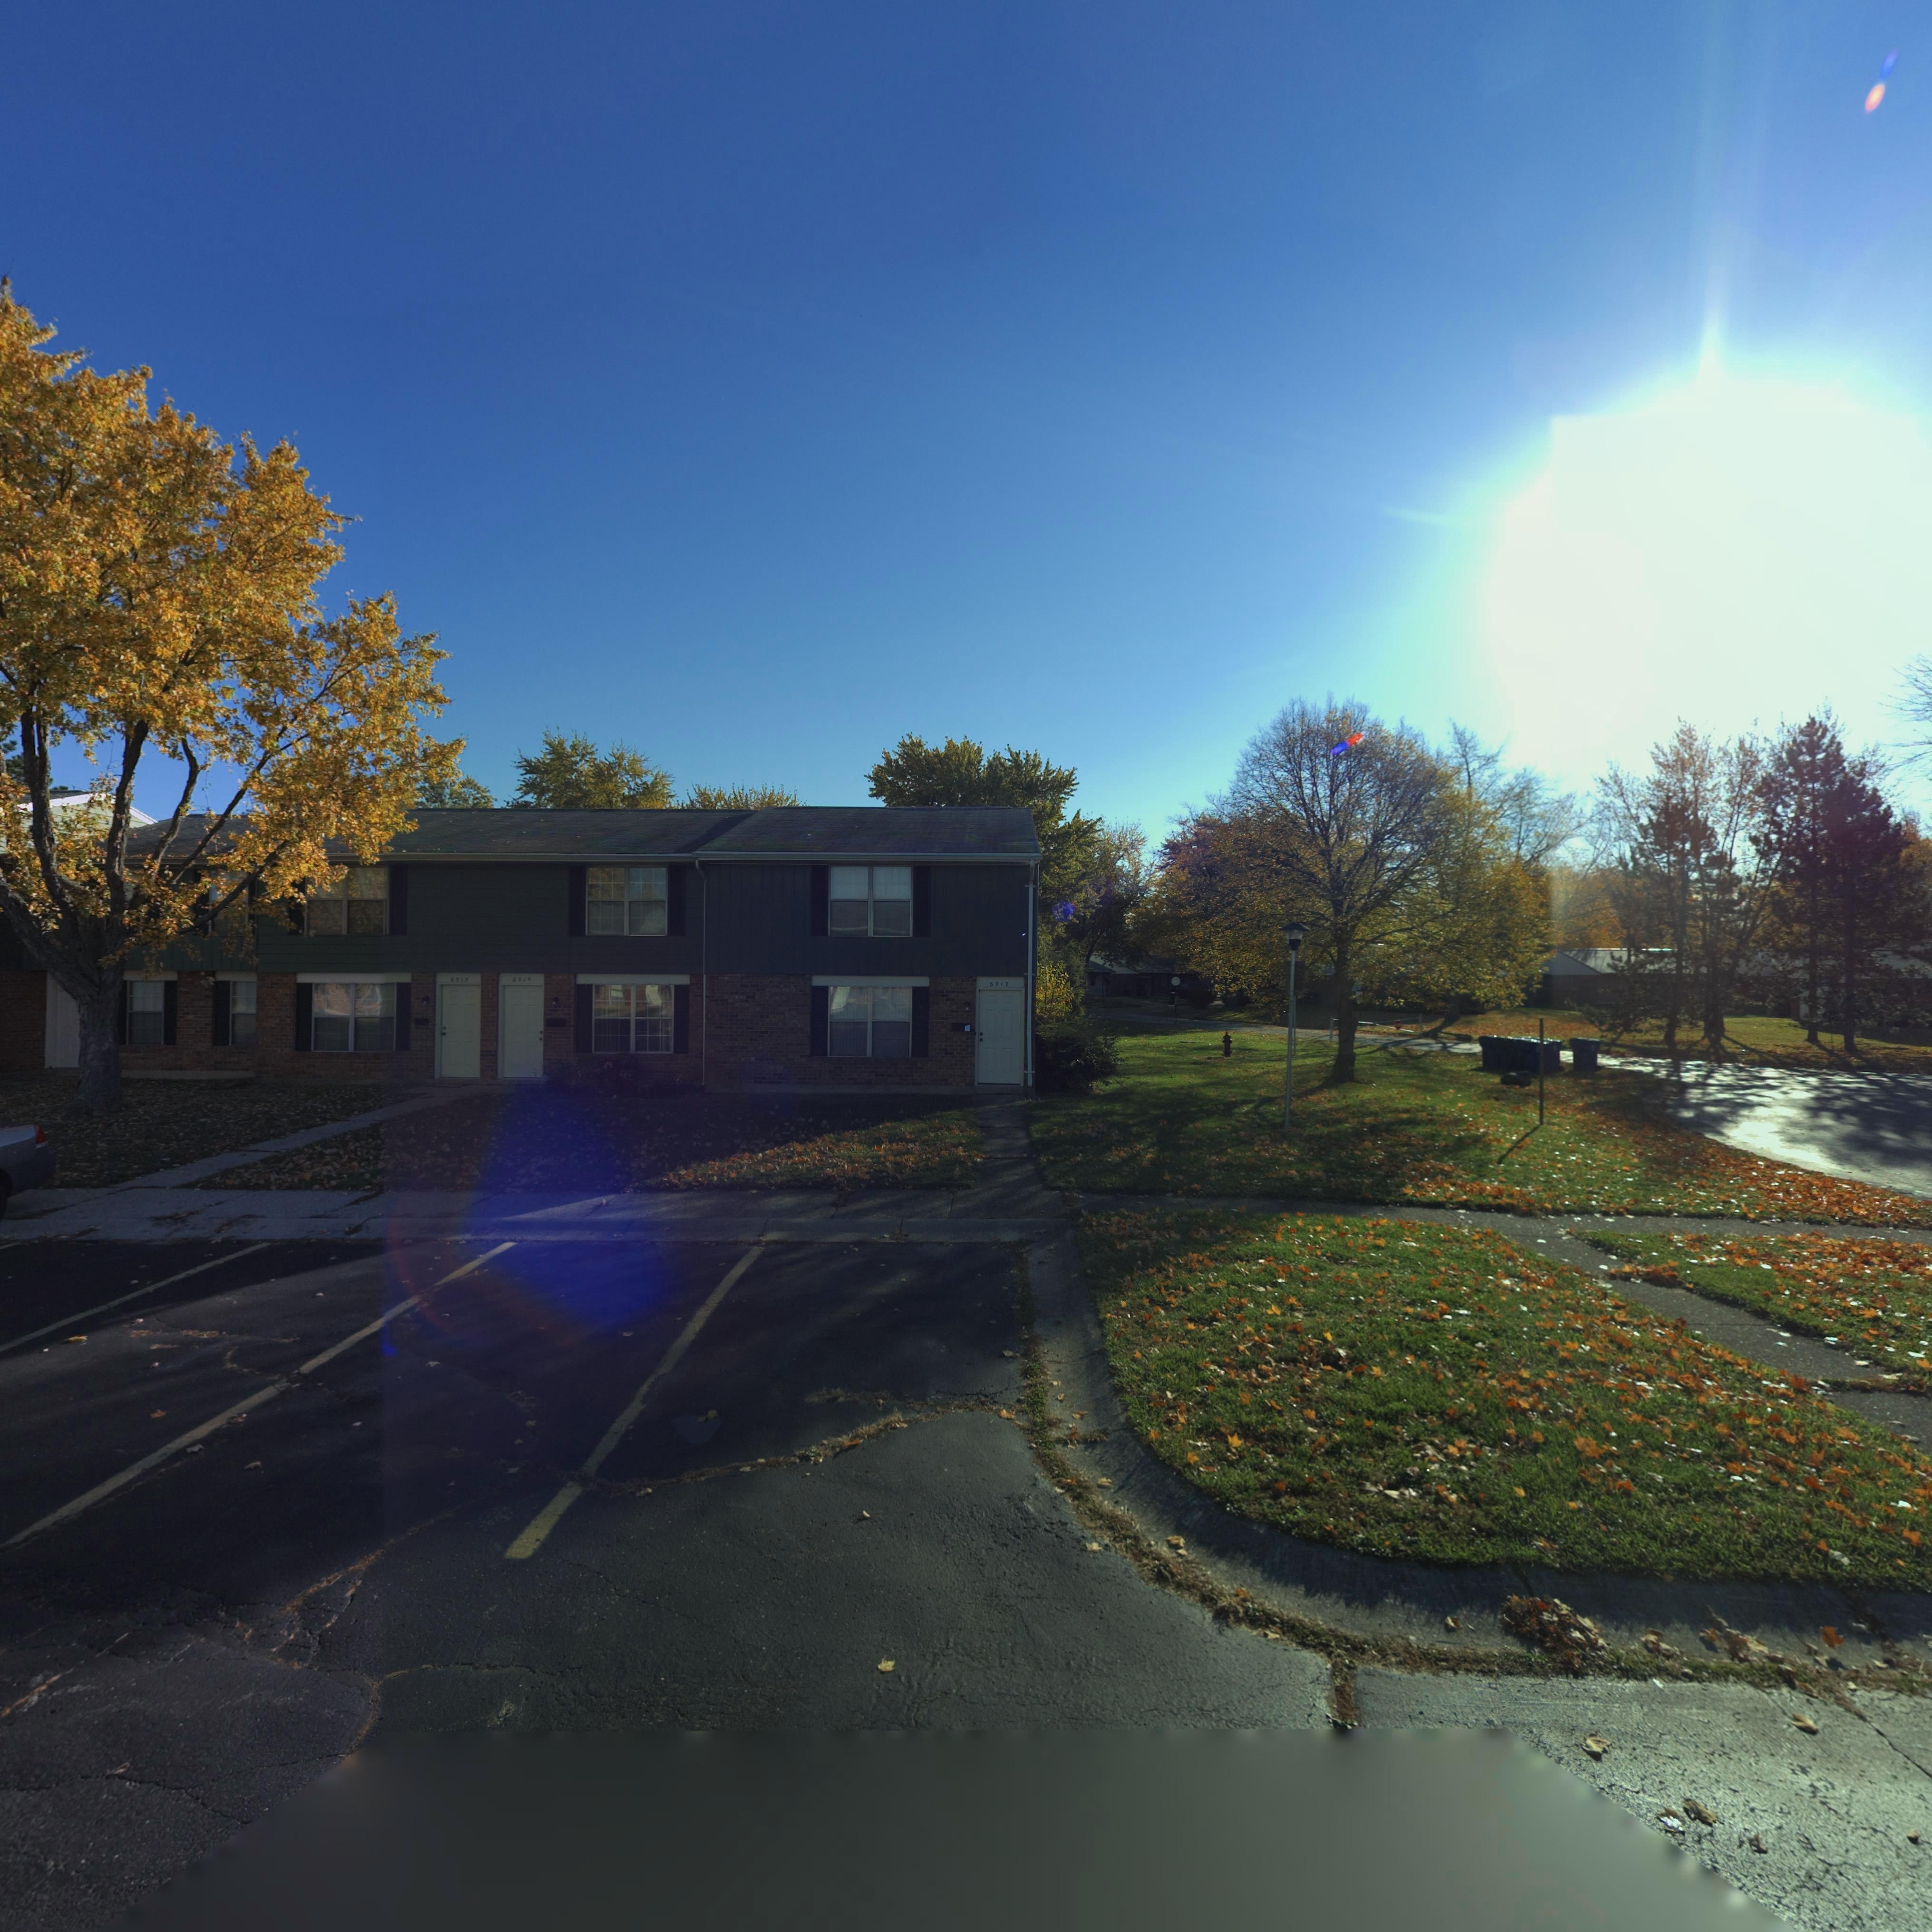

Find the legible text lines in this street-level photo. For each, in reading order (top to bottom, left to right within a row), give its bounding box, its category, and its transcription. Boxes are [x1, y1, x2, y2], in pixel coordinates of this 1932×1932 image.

[450, 976, 468, 982] StreetNumber: 8313
[512, 976, 531, 982] StreetNumber: 8313
[989, 981, 1008, 987] StreetNumber: 8317